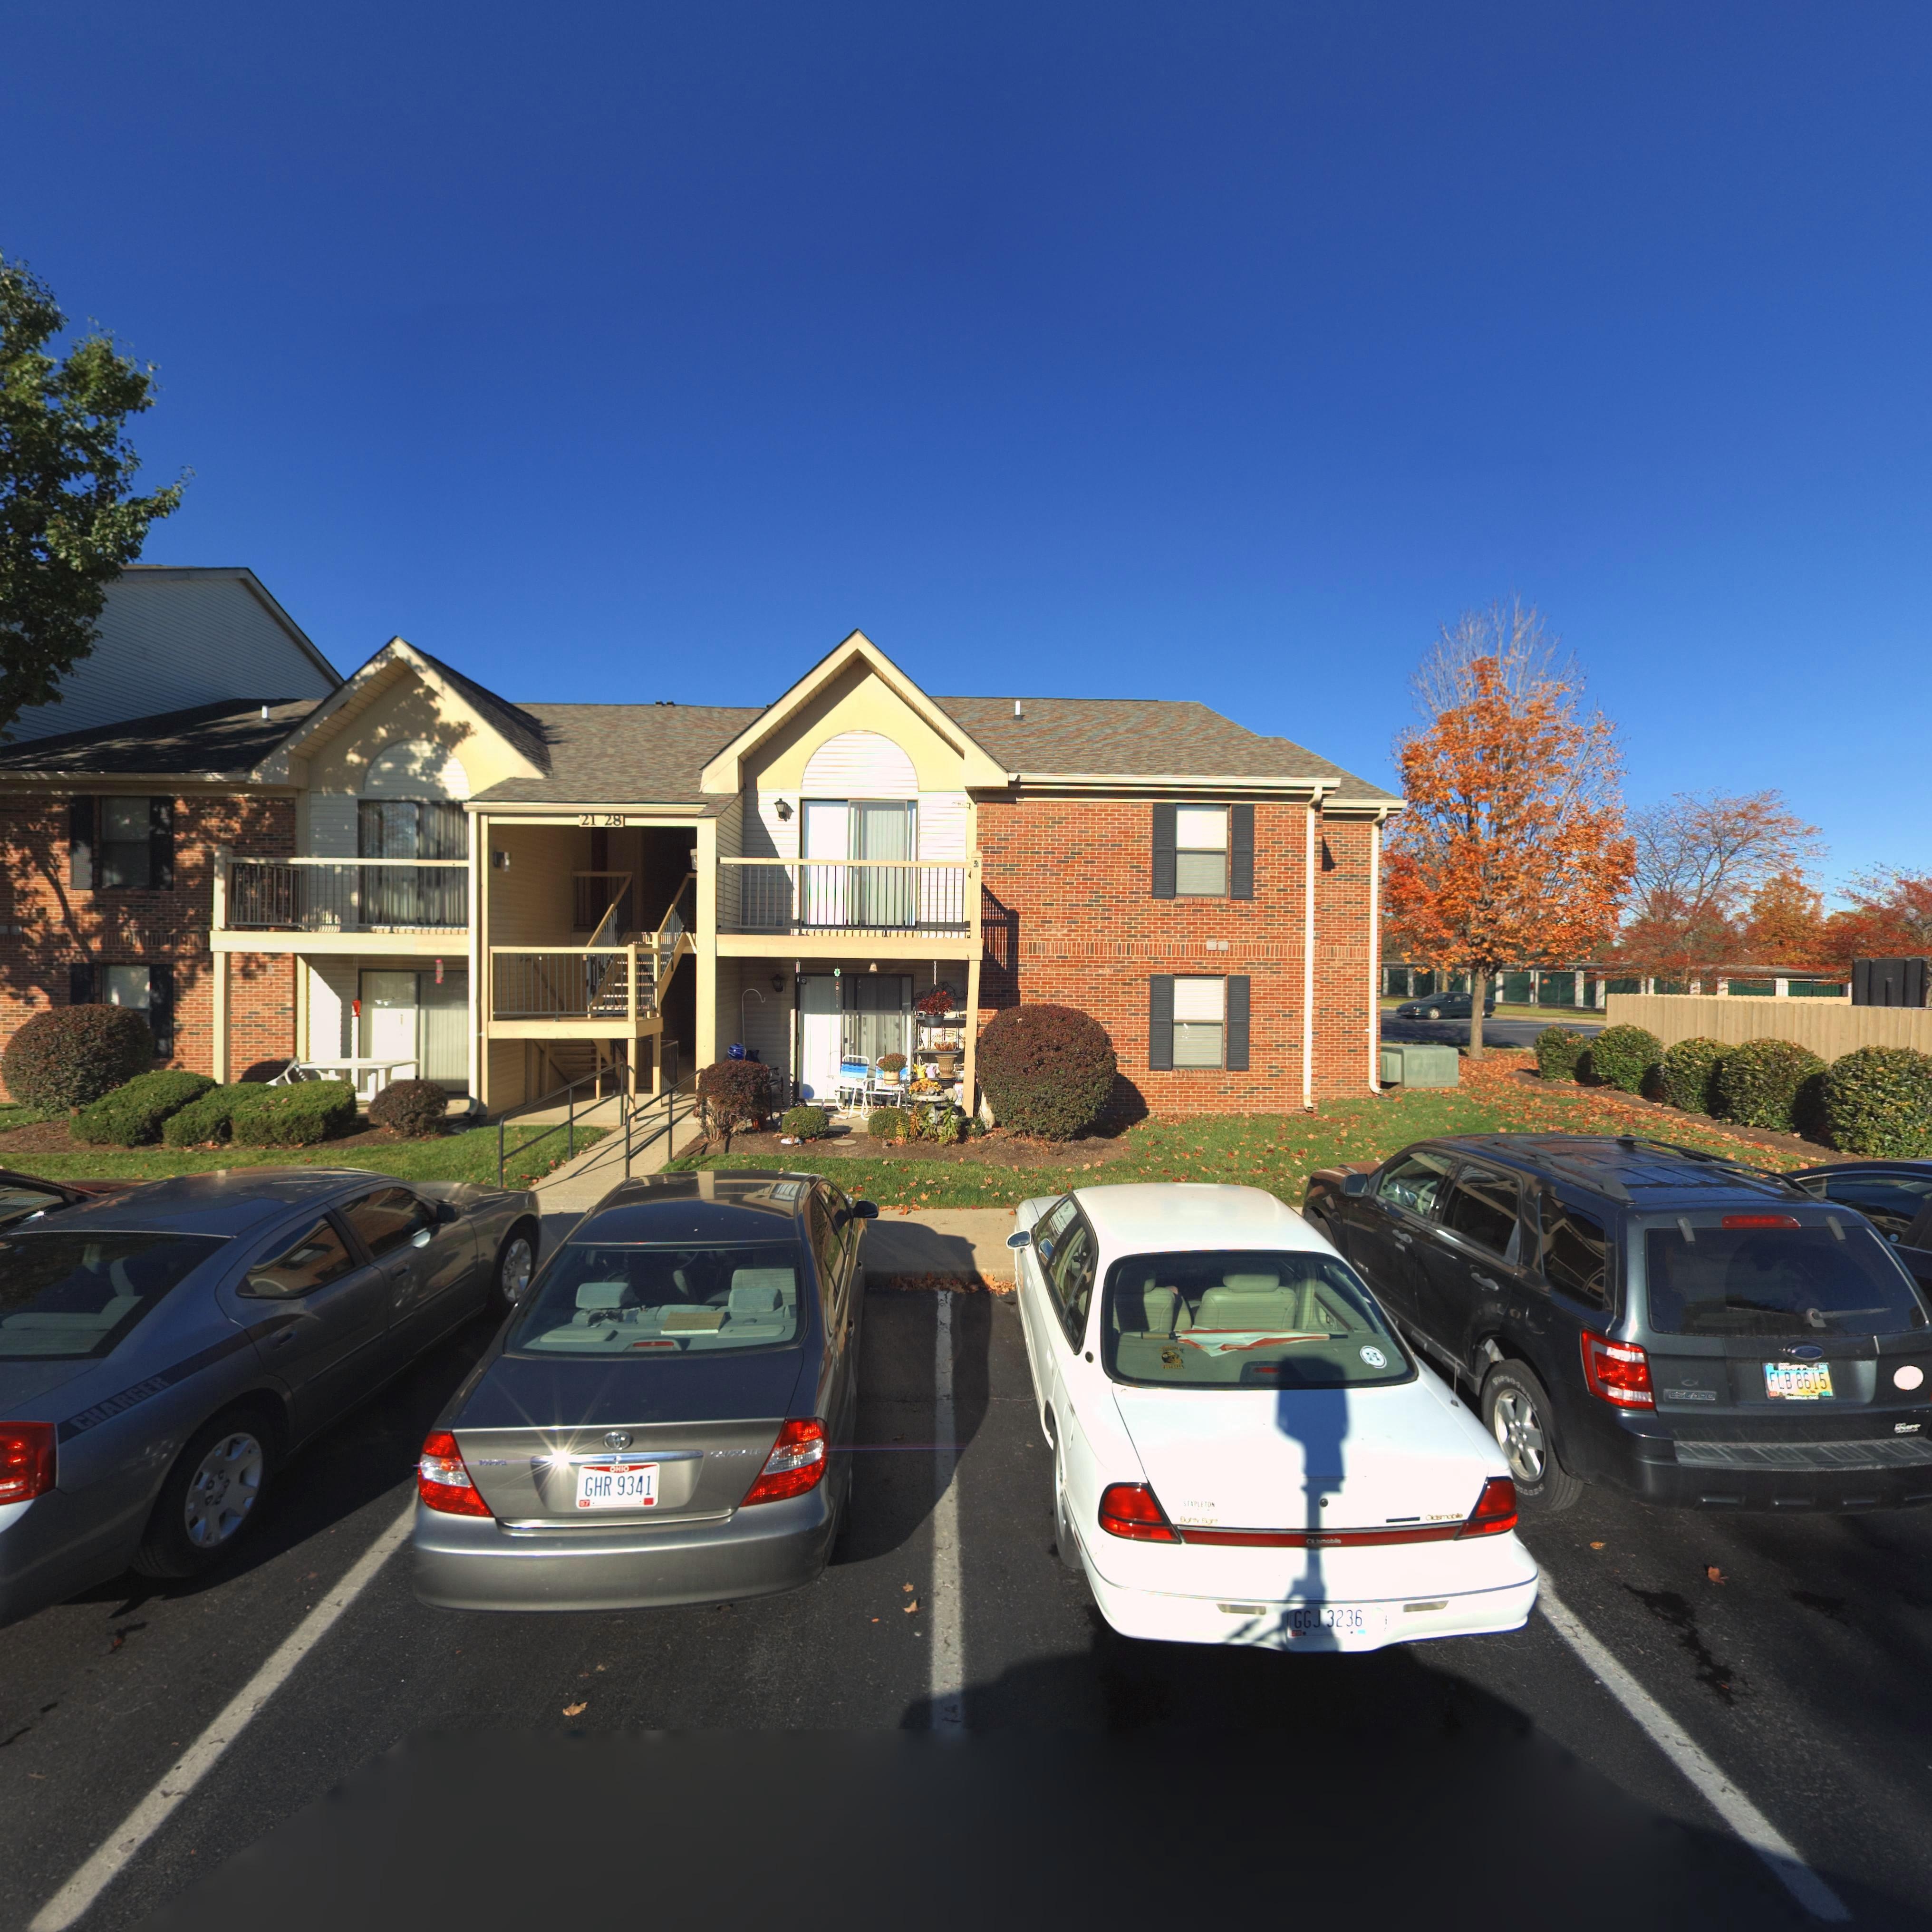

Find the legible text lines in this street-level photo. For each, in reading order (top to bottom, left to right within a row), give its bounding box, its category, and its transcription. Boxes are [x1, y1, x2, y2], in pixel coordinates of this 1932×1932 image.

[580, 812, 622, 826] StreetNumber: 21 28